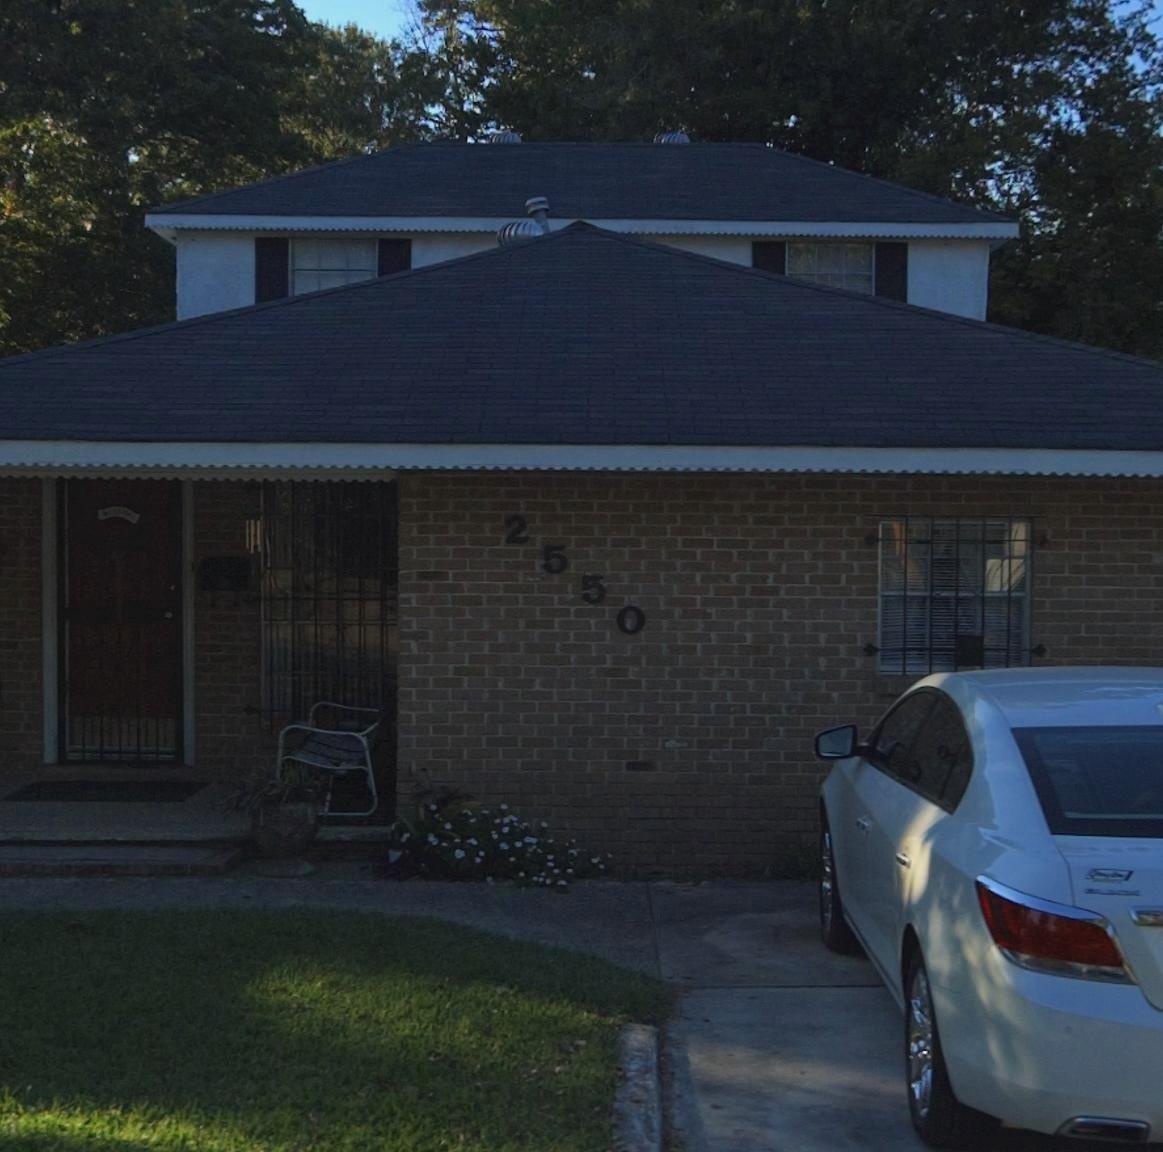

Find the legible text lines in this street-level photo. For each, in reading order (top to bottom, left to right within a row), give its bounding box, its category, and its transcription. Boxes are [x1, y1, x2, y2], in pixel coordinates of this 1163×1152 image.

[503, 512, 647, 635] StreetNumber: 2550